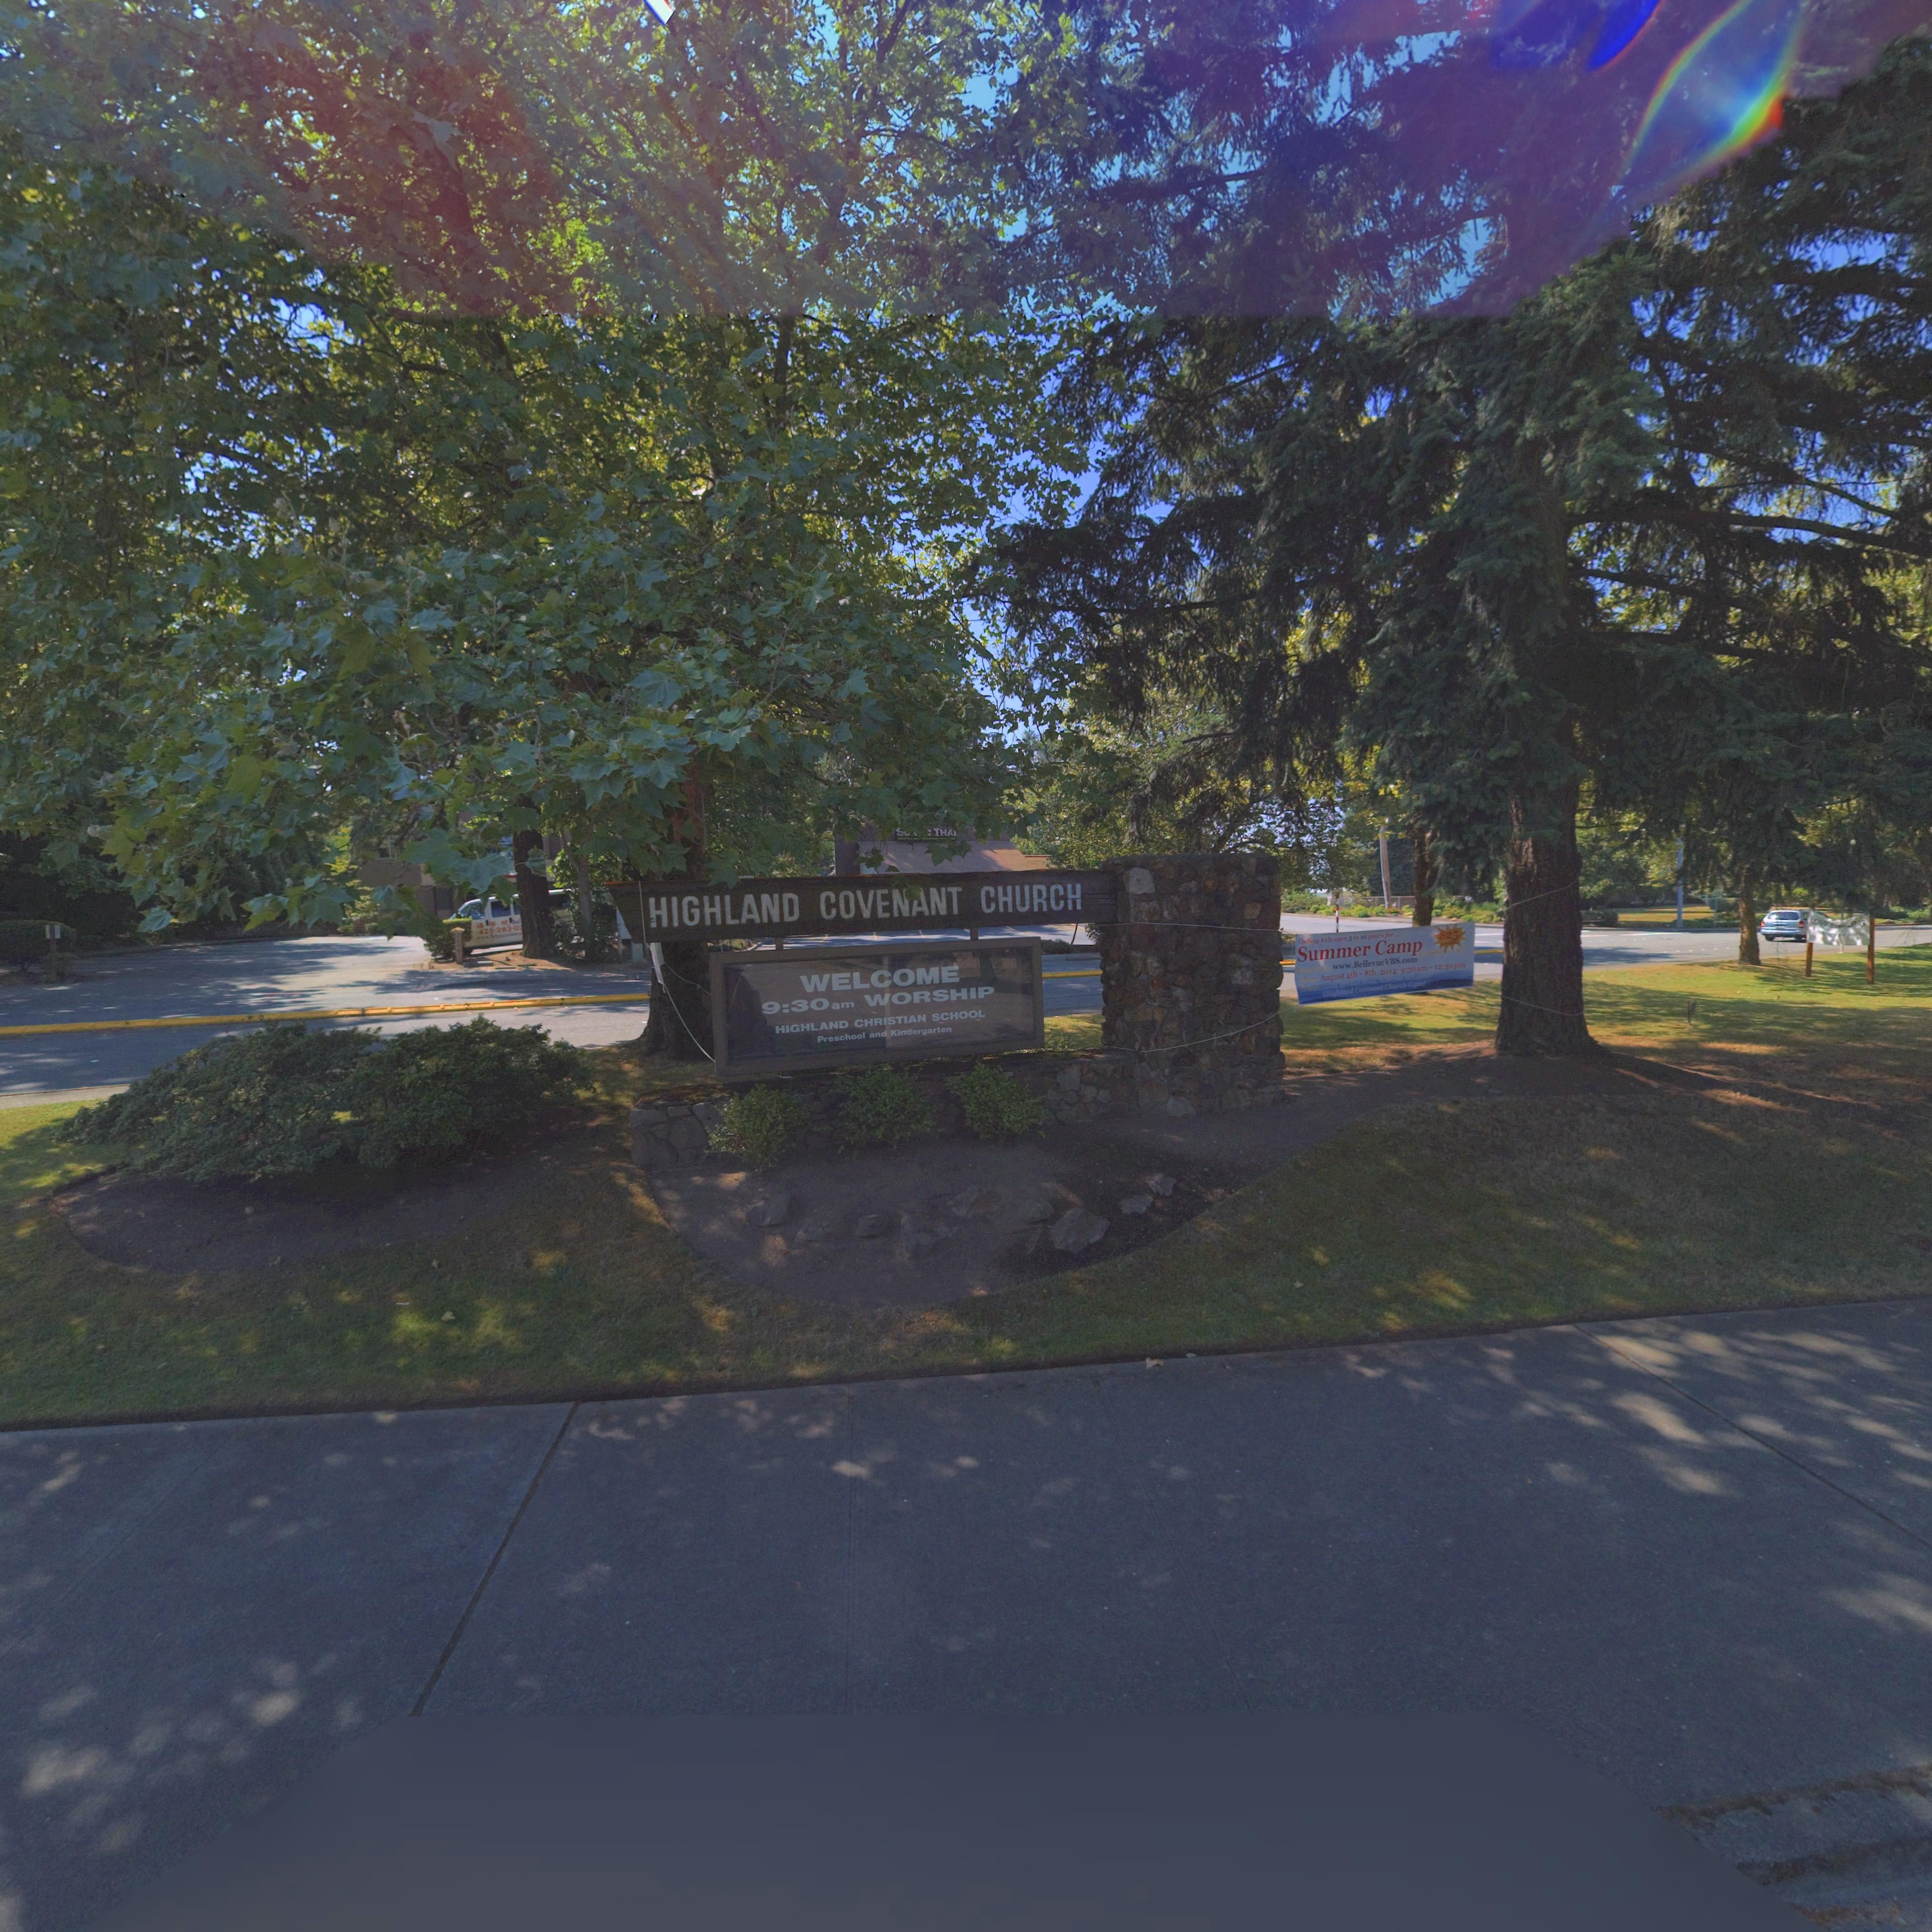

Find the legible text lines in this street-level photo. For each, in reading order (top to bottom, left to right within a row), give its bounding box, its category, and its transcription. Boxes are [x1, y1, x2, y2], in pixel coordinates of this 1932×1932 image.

[932, 827, 957, 837] BusinessName: THAI
[649, 882, 1082, 927] BusinessName: HIGHLAND COVENANT CHURCH
[774, 1009, 986, 1034] BusinessName: HIGHLAND CHRISTIAN SCHOOL
[817, 1026, 952, 1043] BusinessName: Preschool and Kindergarten